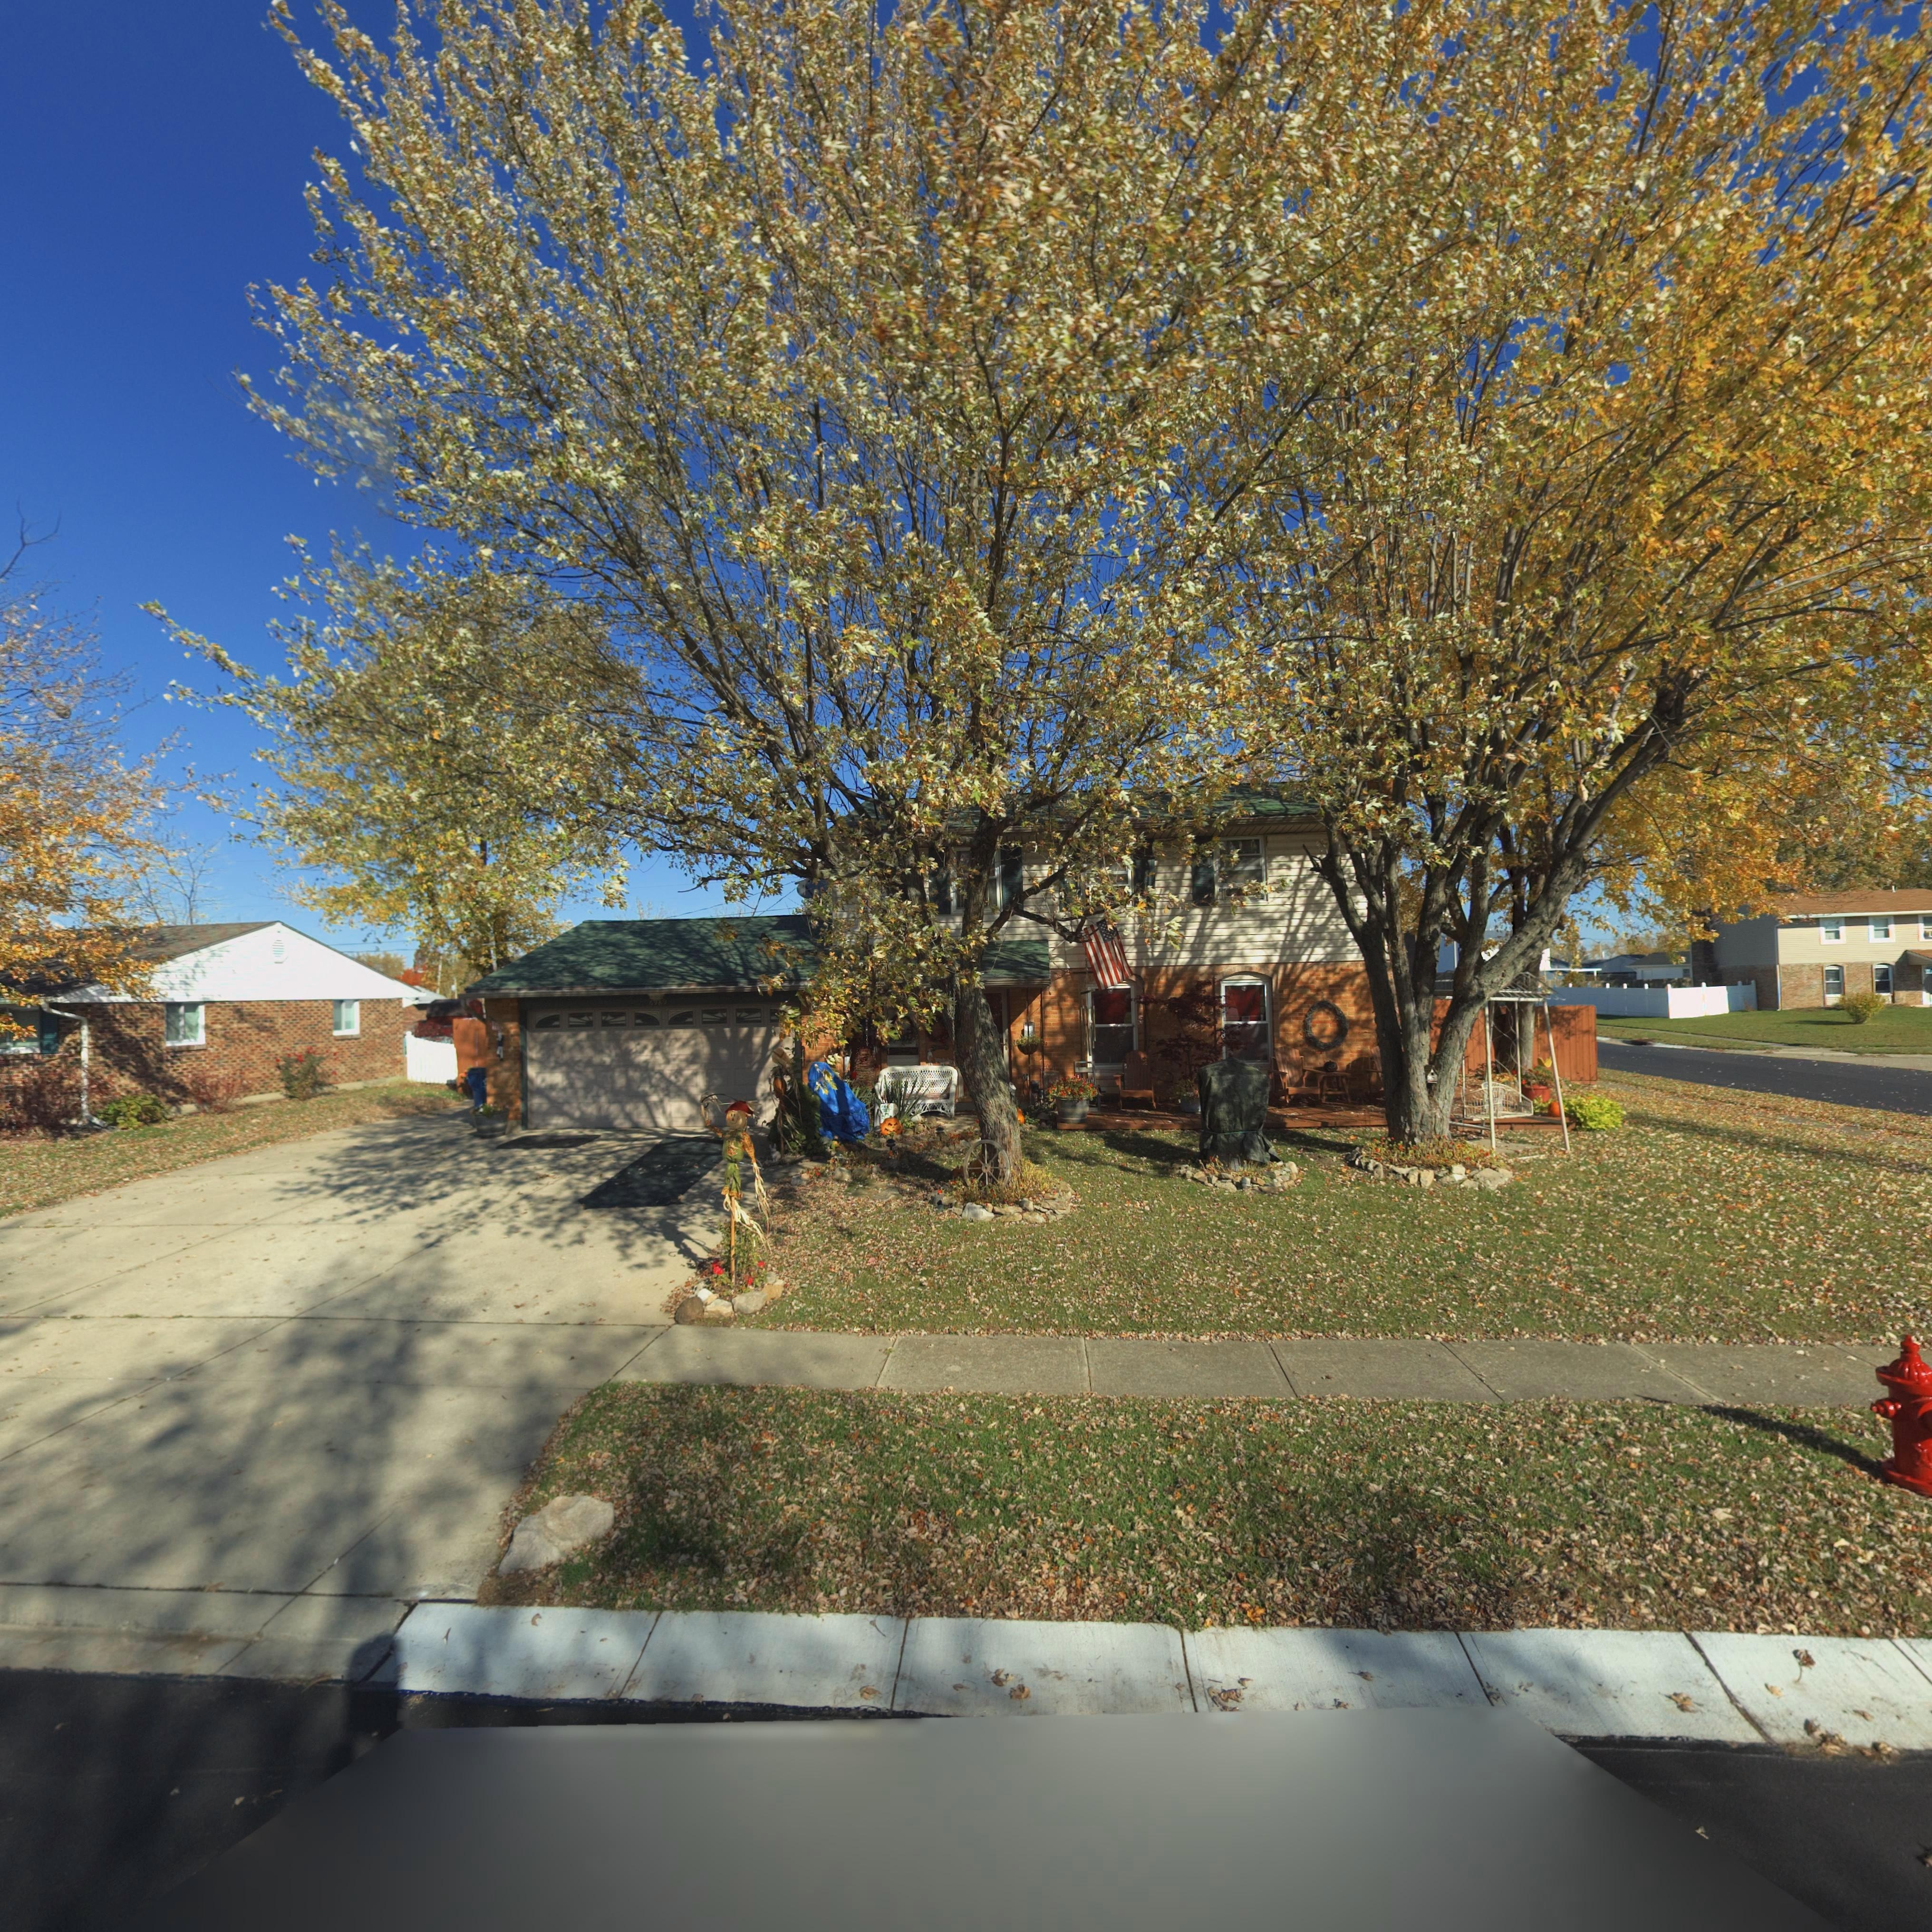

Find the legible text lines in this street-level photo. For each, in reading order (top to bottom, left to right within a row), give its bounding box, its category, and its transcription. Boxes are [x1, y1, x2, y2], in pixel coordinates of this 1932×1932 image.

[648, 998, 667, 1007] StreetNumber: 6989